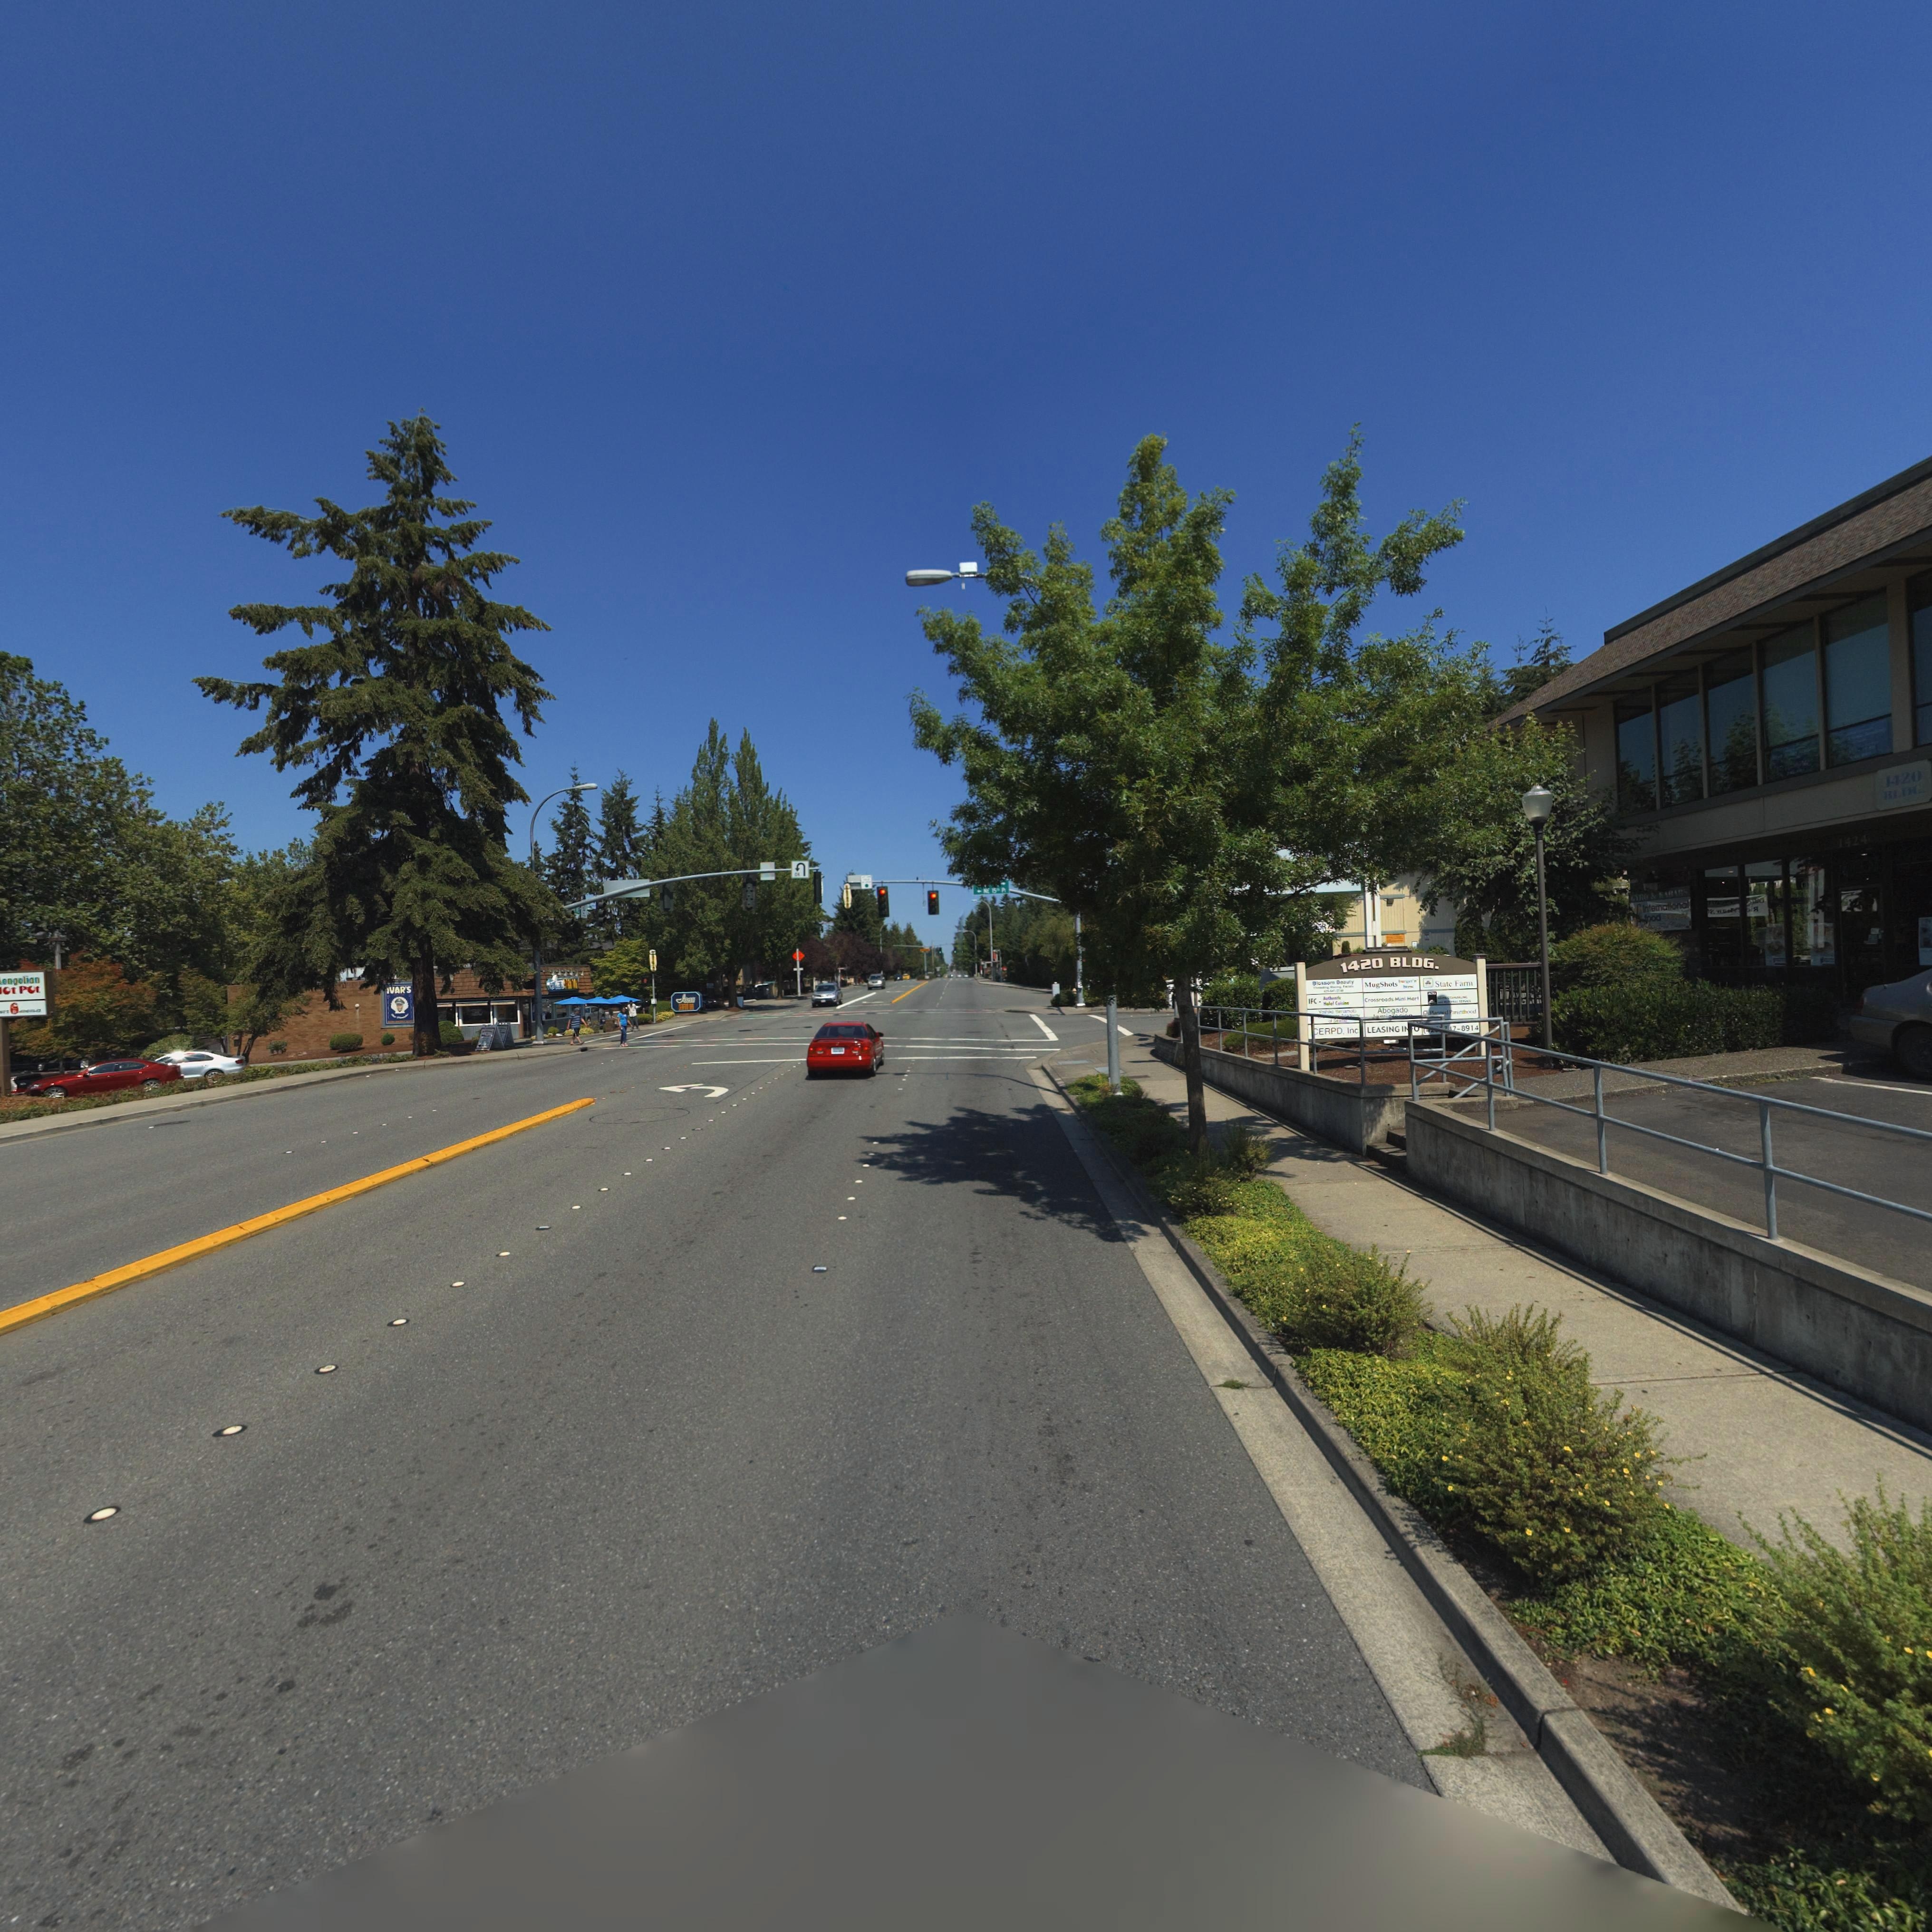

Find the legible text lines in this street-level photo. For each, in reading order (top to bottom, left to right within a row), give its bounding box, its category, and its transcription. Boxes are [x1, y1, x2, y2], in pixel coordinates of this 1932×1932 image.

[1883, 768, 1921, 788] StreetNumber: 1420
[983, 887, 1006, 894] StreetName: NE 15* P*
[1339, 956, 1383, 974] StreetNumber: 1420
[2, 974, 40, 985] None: ongolian
[1336, 979, 1354, 985] BusinessName: Beauty
[1364, 980, 1398, 989] BusinessName: MugShots
[1434, 979, 1473, 988] BusinessName: State Farm
[2, 984, 40, 995] BusinessName: ot Pot
[386, 985, 412, 995] BusinessName: *VAR'S
[1307, 997, 1317, 1005] BusinessName: IFC
[1364, 996, 1420, 1003] None: Crossro*ds Mini Mart
[1377, 1006, 1408, 1015] BusinessName: Abogado
[1314, 1026, 1360, 1036] BusinessName: *ERPD, INC